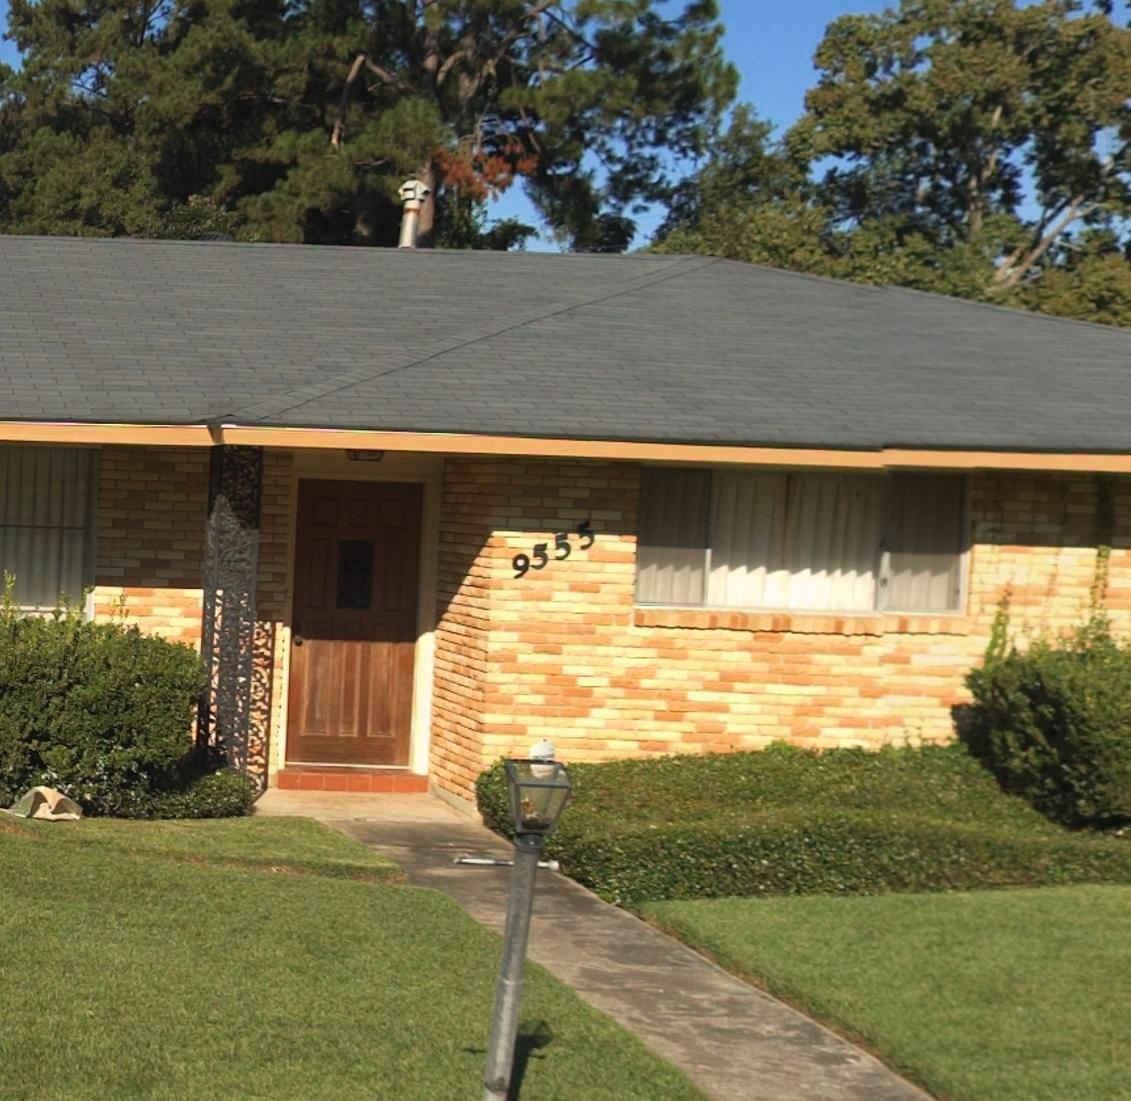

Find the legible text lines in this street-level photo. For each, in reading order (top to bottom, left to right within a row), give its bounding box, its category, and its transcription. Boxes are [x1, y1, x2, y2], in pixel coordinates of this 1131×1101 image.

[511, 519, 599, 583] StreetNumber: 9555